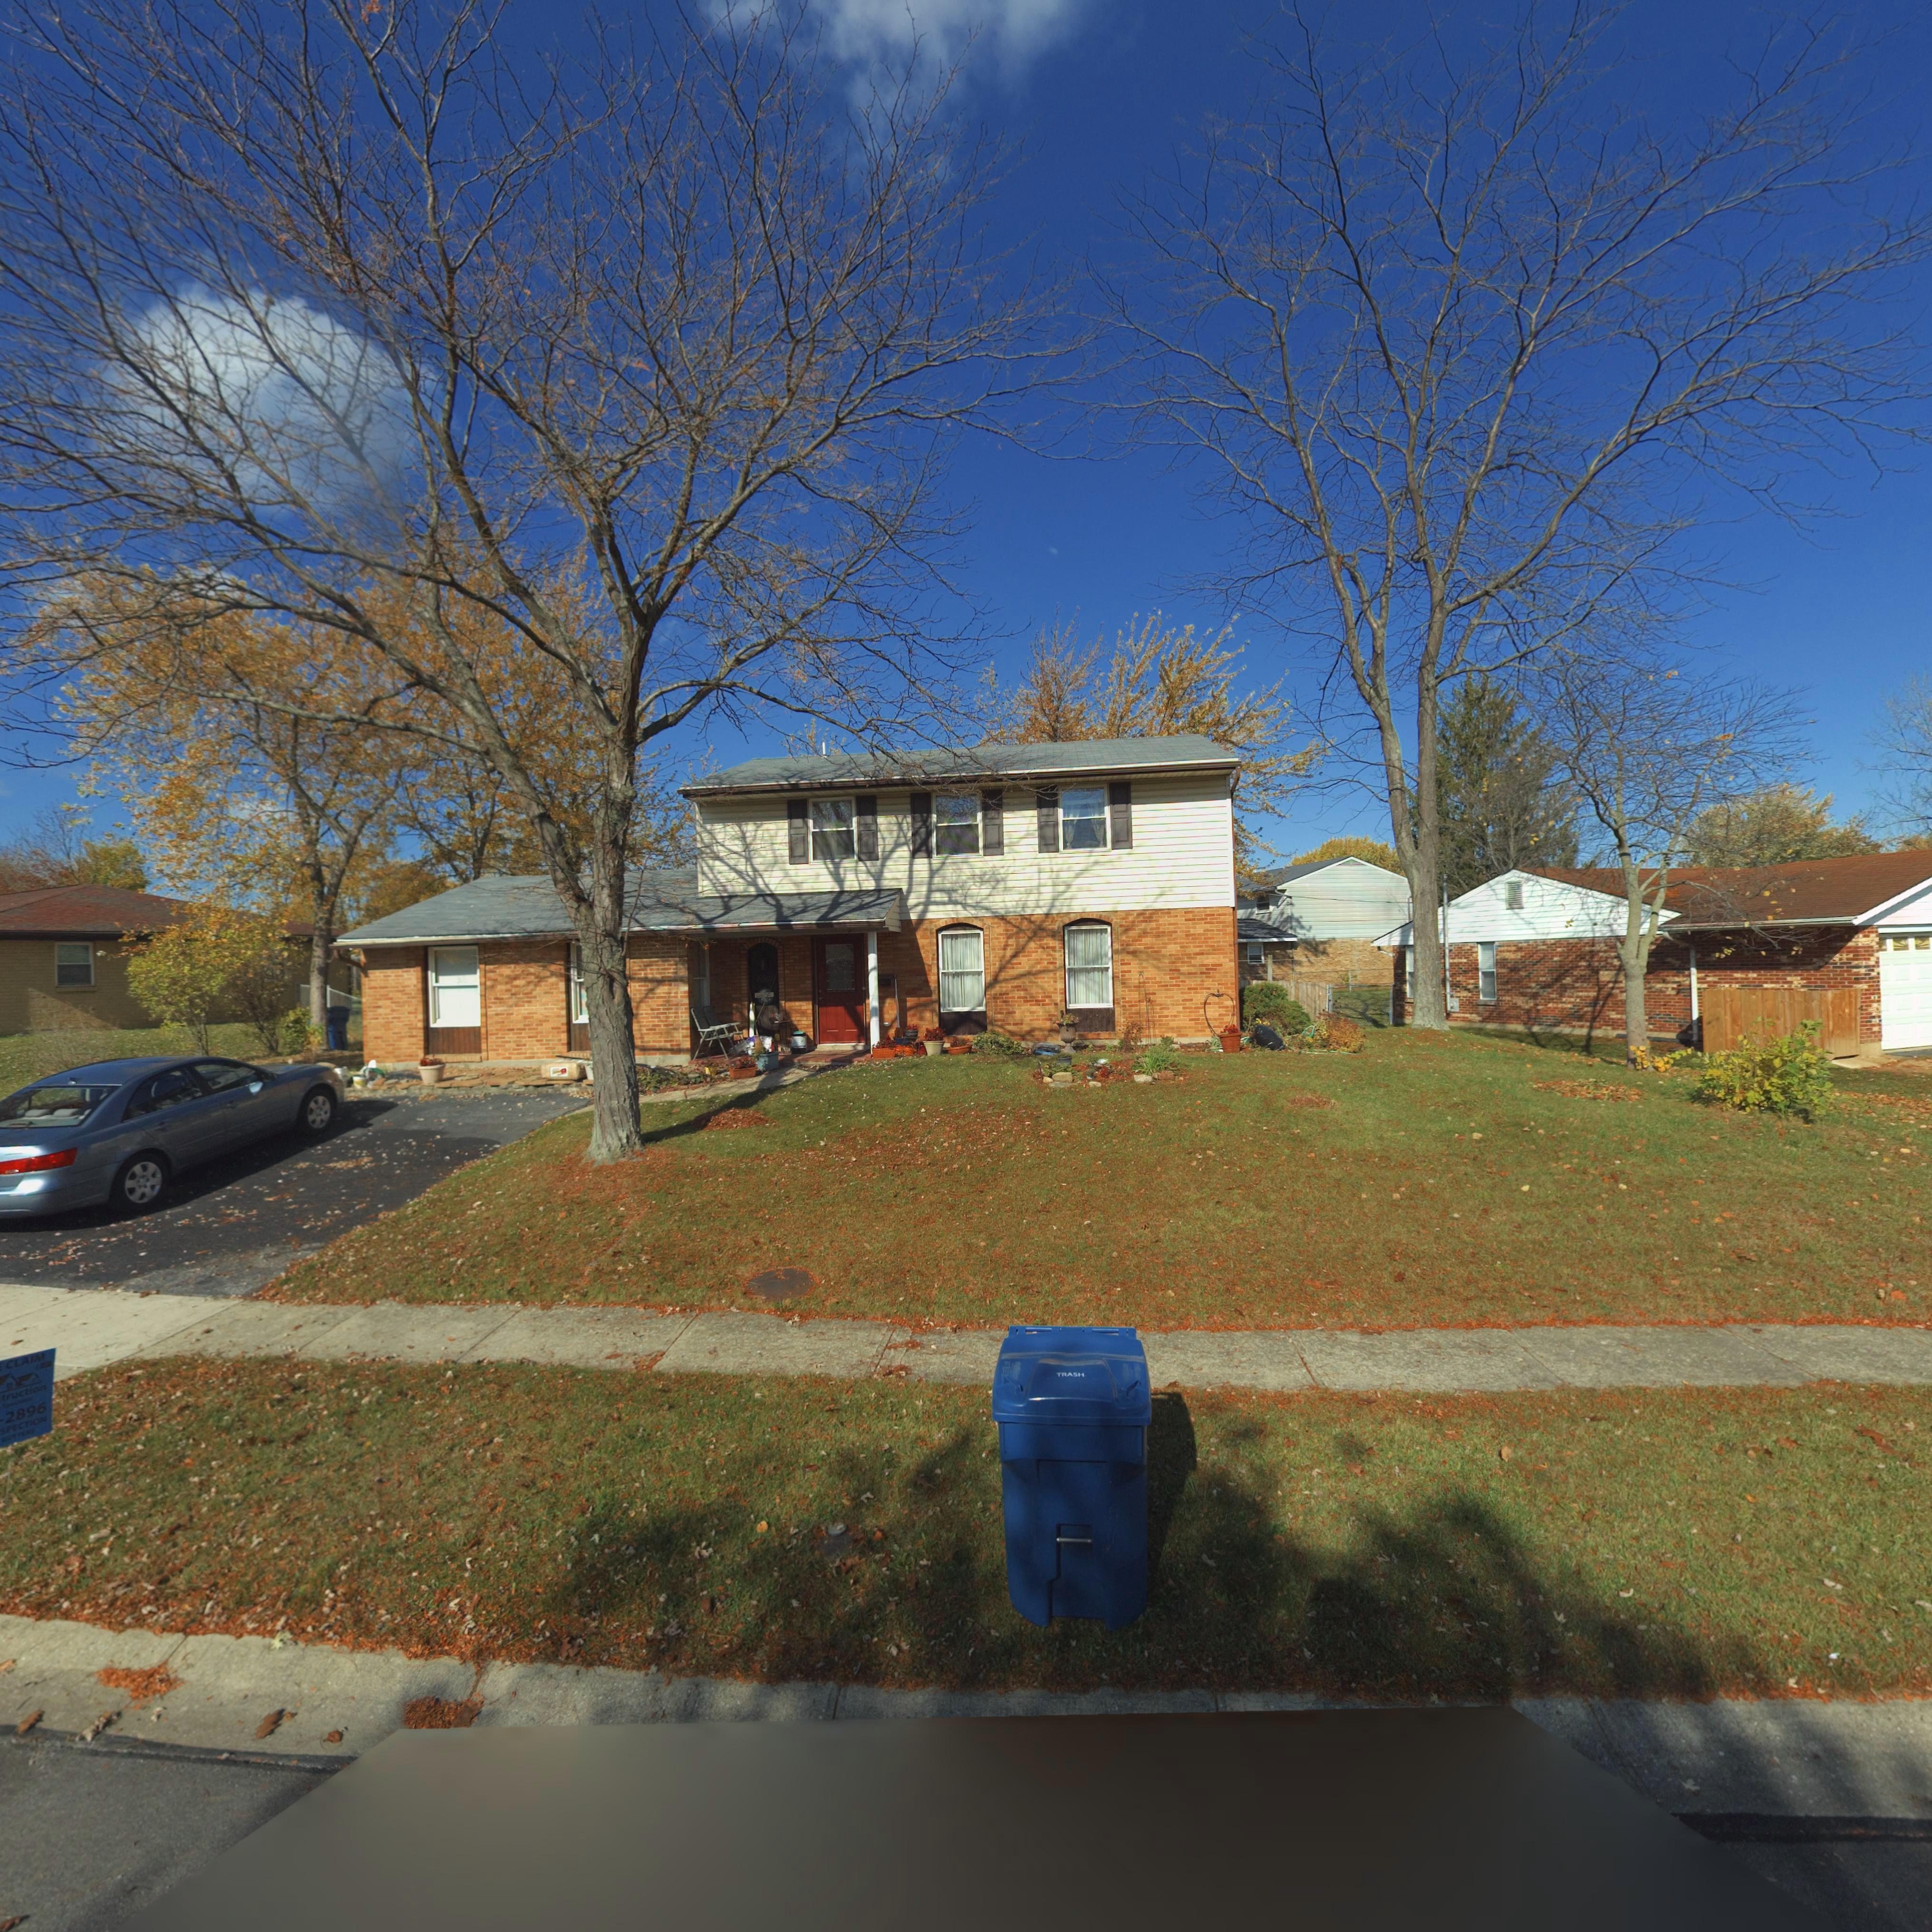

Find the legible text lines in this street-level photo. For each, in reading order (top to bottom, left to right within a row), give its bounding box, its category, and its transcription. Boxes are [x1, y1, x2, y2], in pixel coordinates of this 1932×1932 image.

[755, 974, 774, 984] StreetNumber: 7*6*